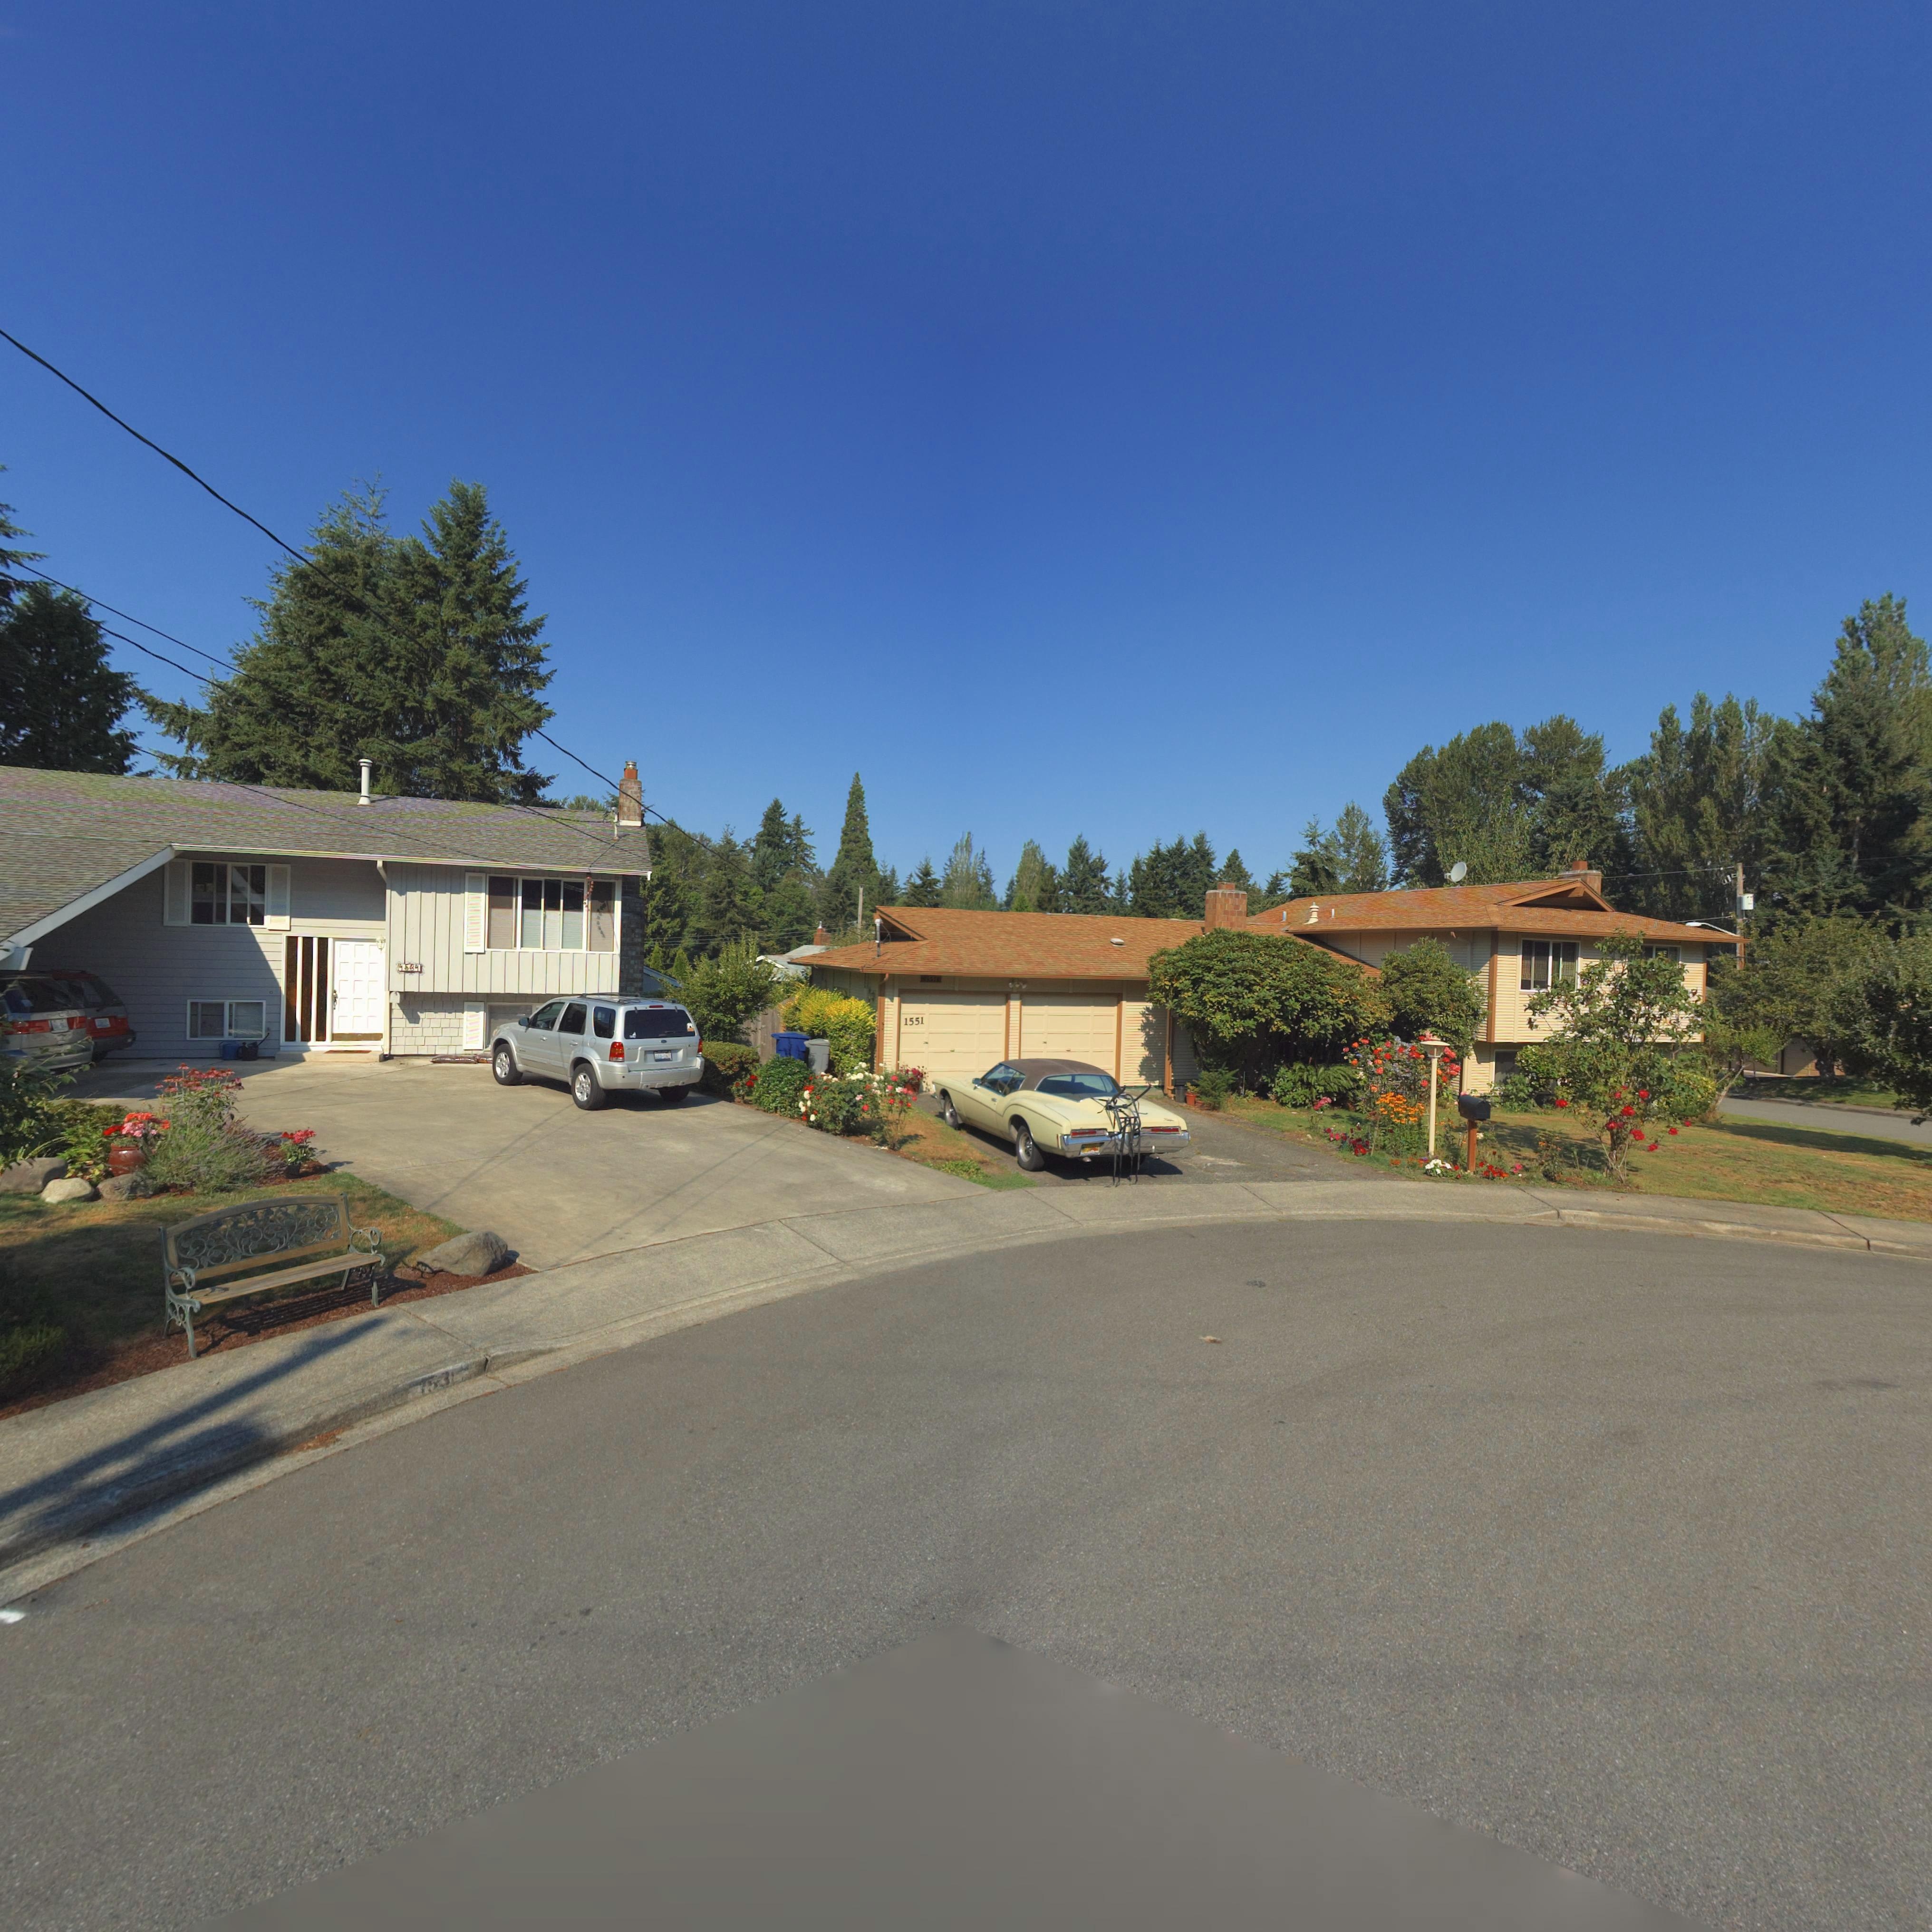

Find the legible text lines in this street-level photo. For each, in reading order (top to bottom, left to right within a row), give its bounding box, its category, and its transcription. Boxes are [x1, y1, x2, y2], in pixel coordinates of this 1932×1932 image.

[903, 1016, 925, 1026] StreetNumber: 1551